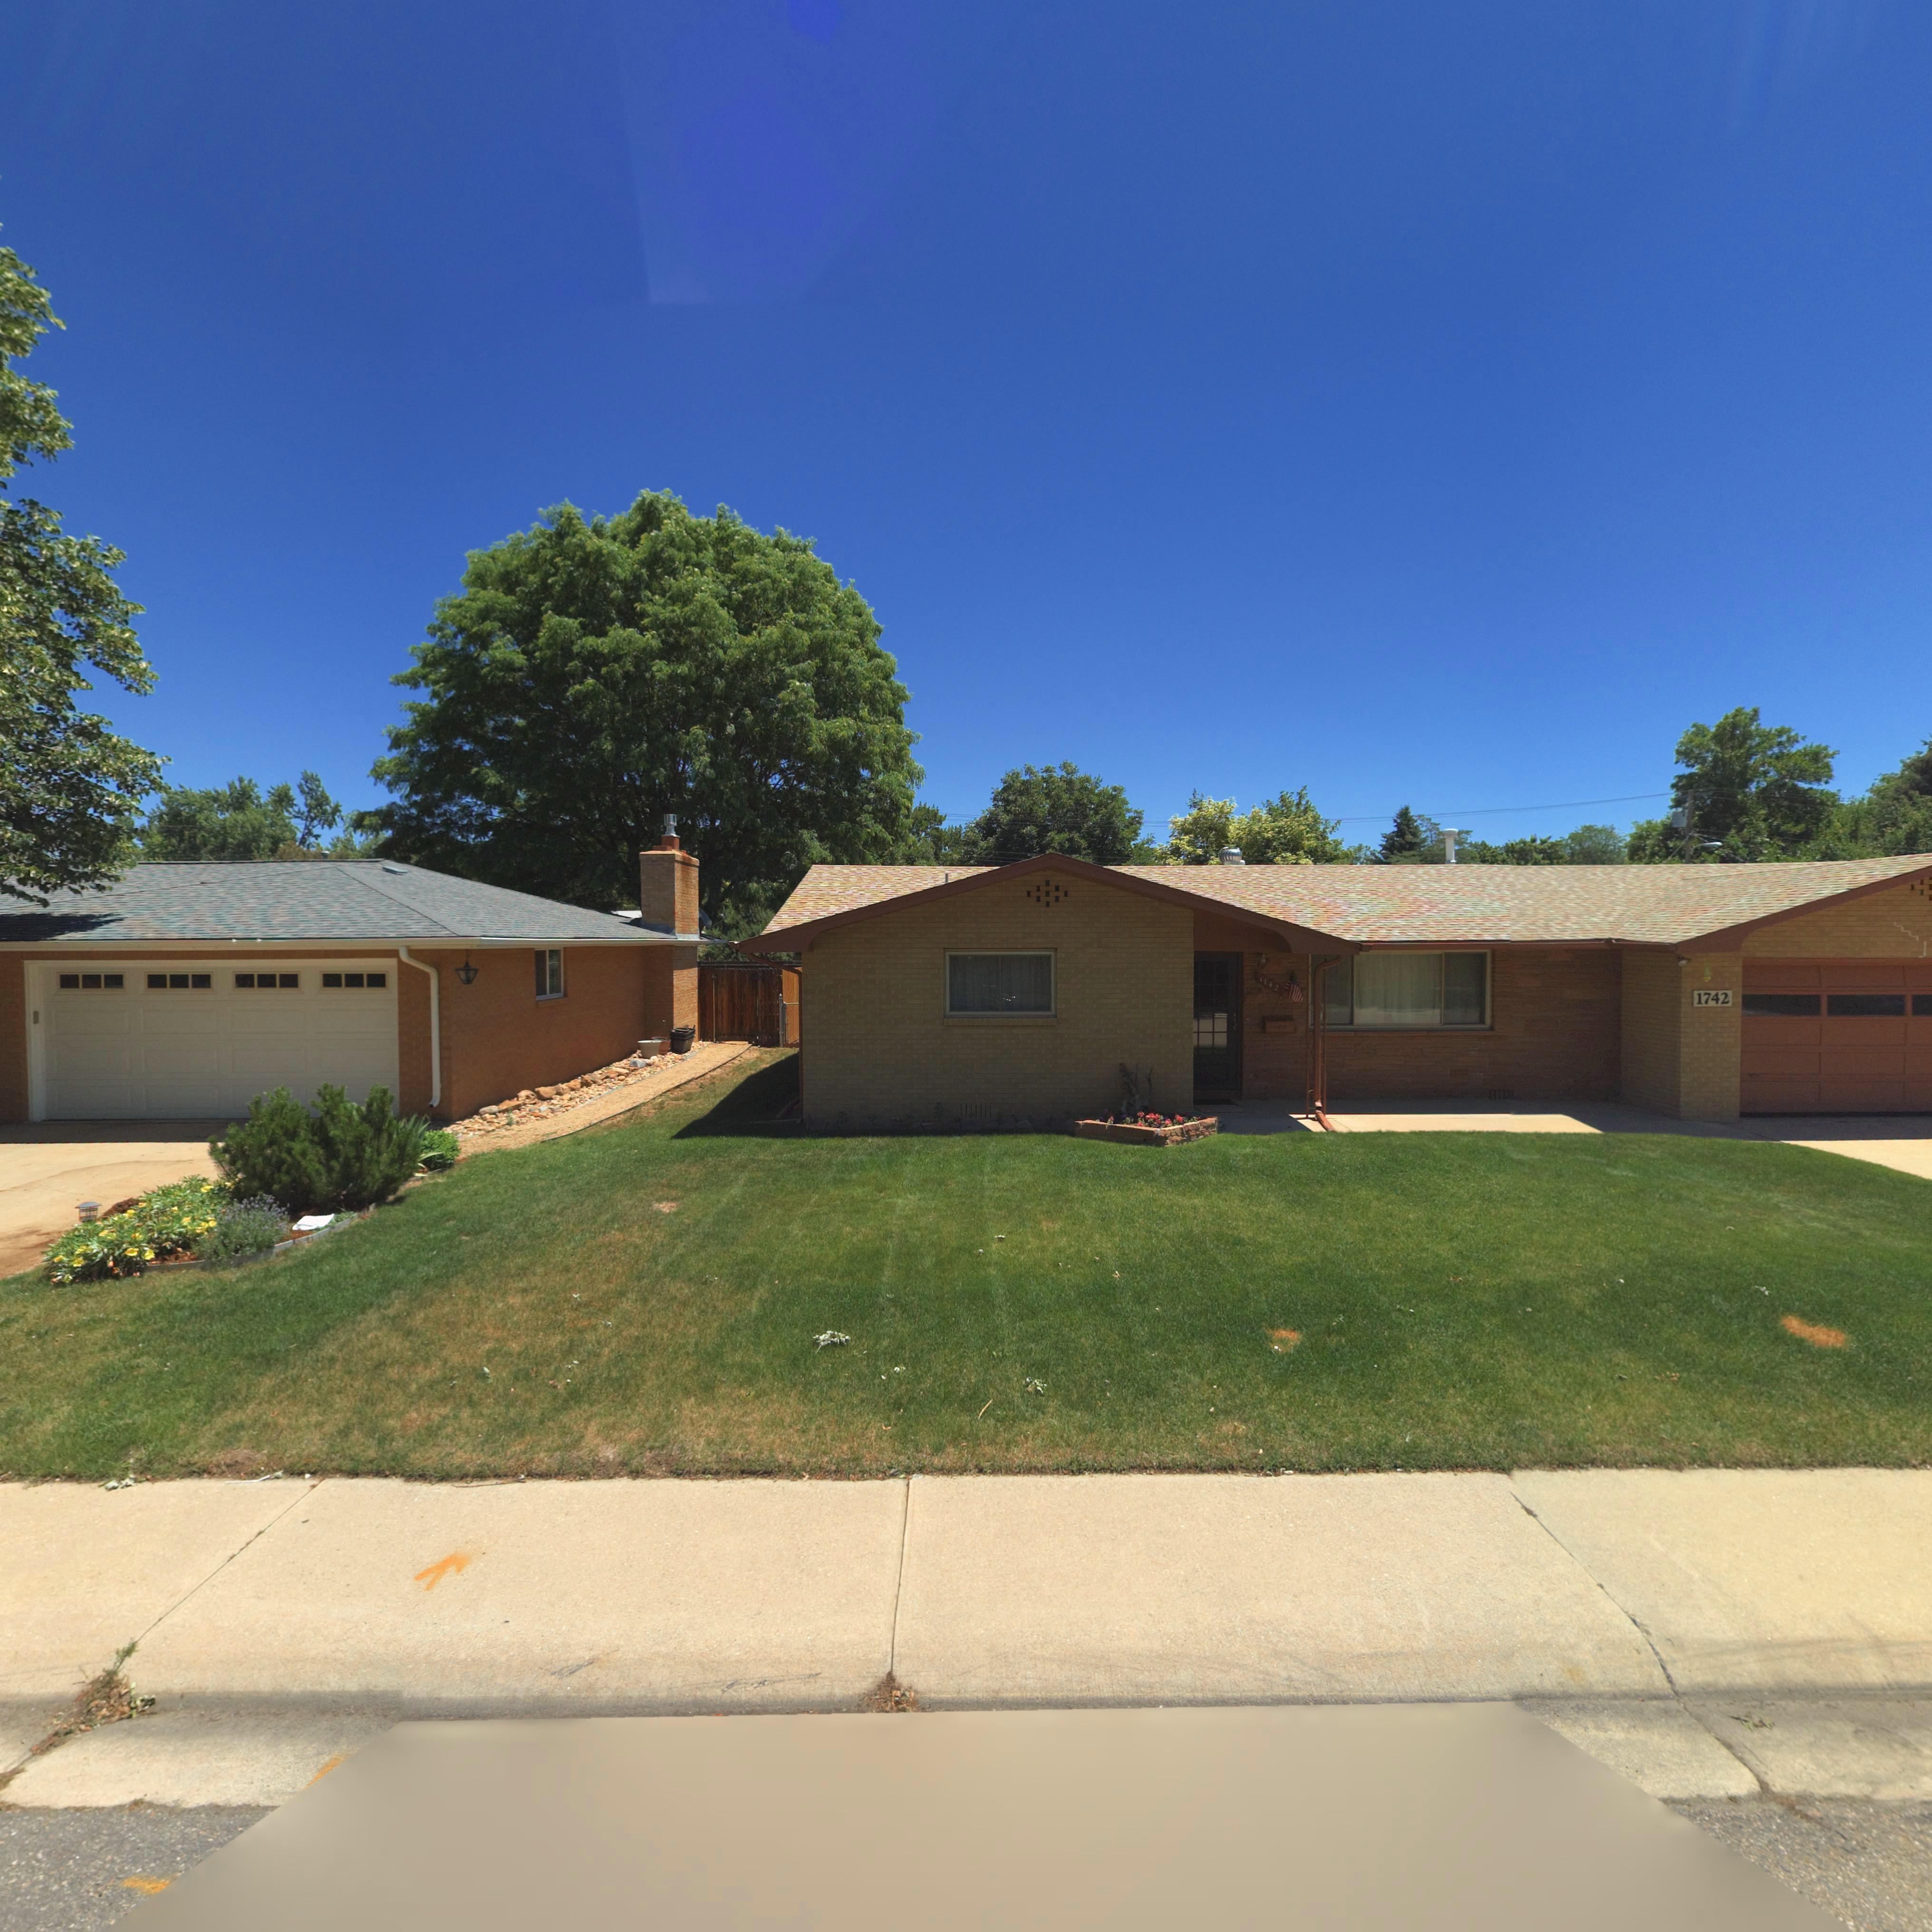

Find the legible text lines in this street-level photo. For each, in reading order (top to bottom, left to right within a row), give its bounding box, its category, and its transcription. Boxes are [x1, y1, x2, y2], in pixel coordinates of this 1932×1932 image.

[1696, 991, 1730, 1005] StreetNumber: 1742